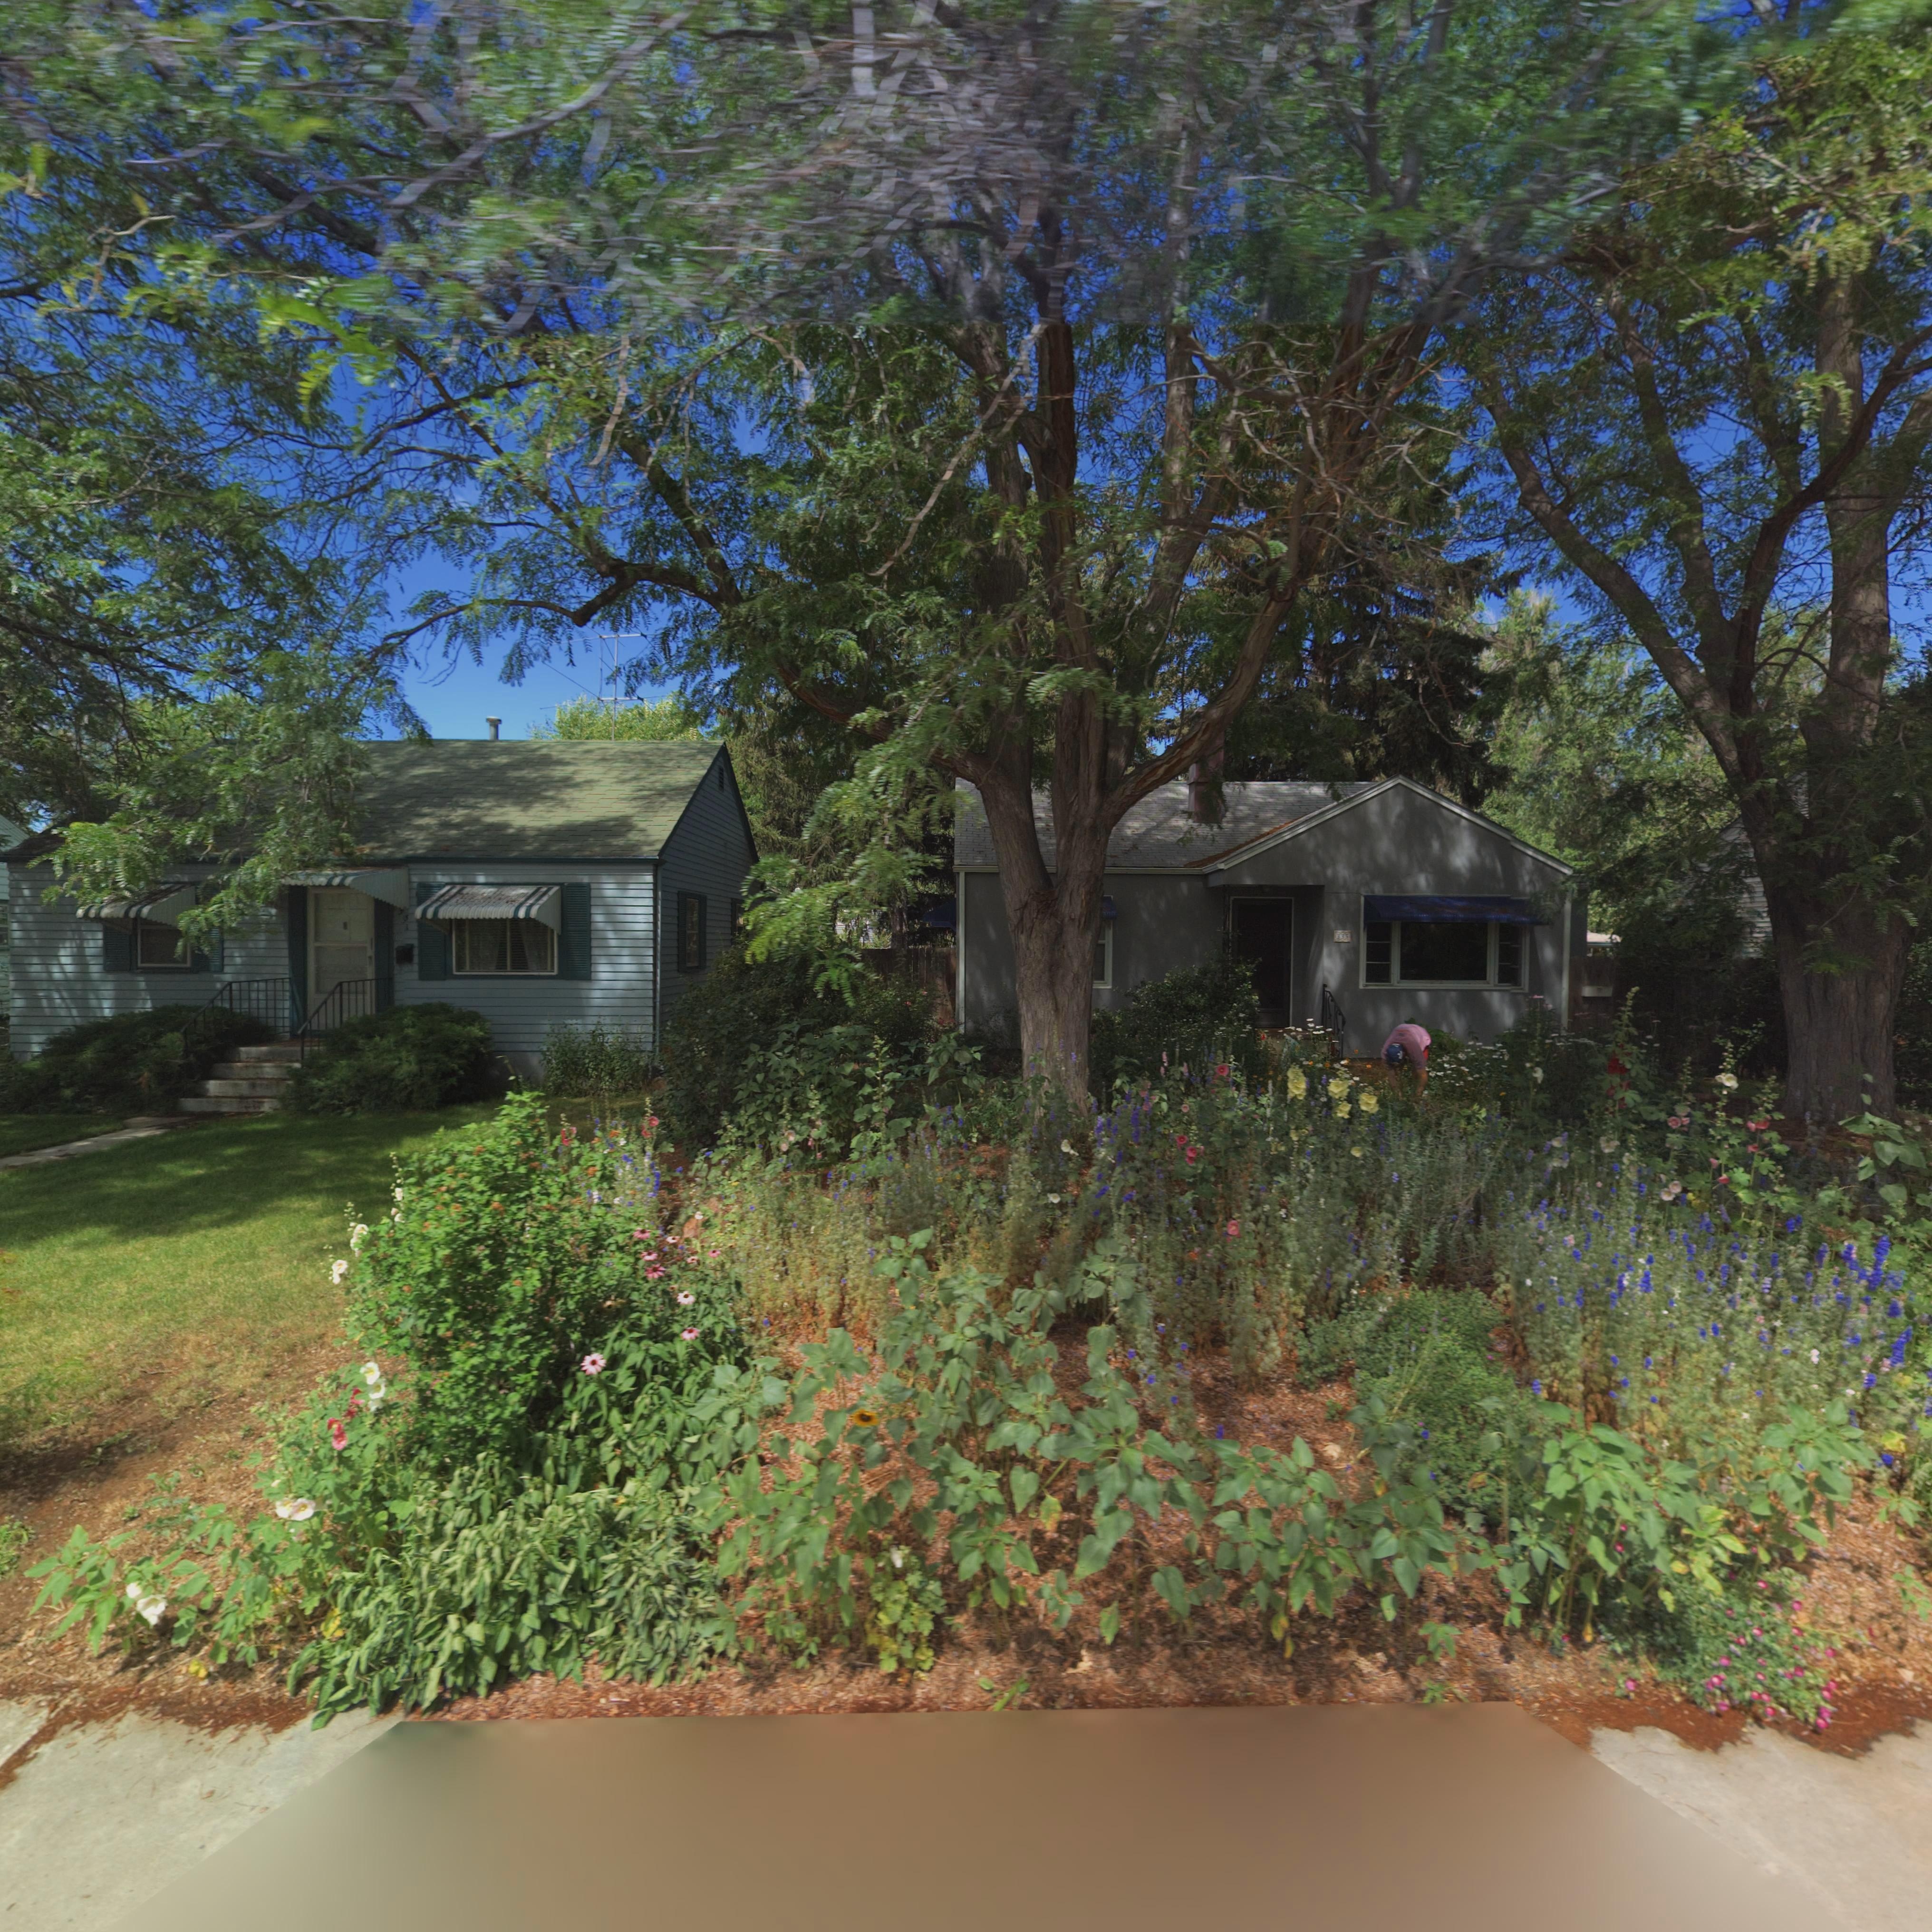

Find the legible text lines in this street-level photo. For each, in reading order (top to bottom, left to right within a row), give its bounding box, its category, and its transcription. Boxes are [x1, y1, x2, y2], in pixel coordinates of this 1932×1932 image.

[397, 907, 409, 931] StreetNumber: *31
[1336, 933, 1349, 939] StreetNumber: 335